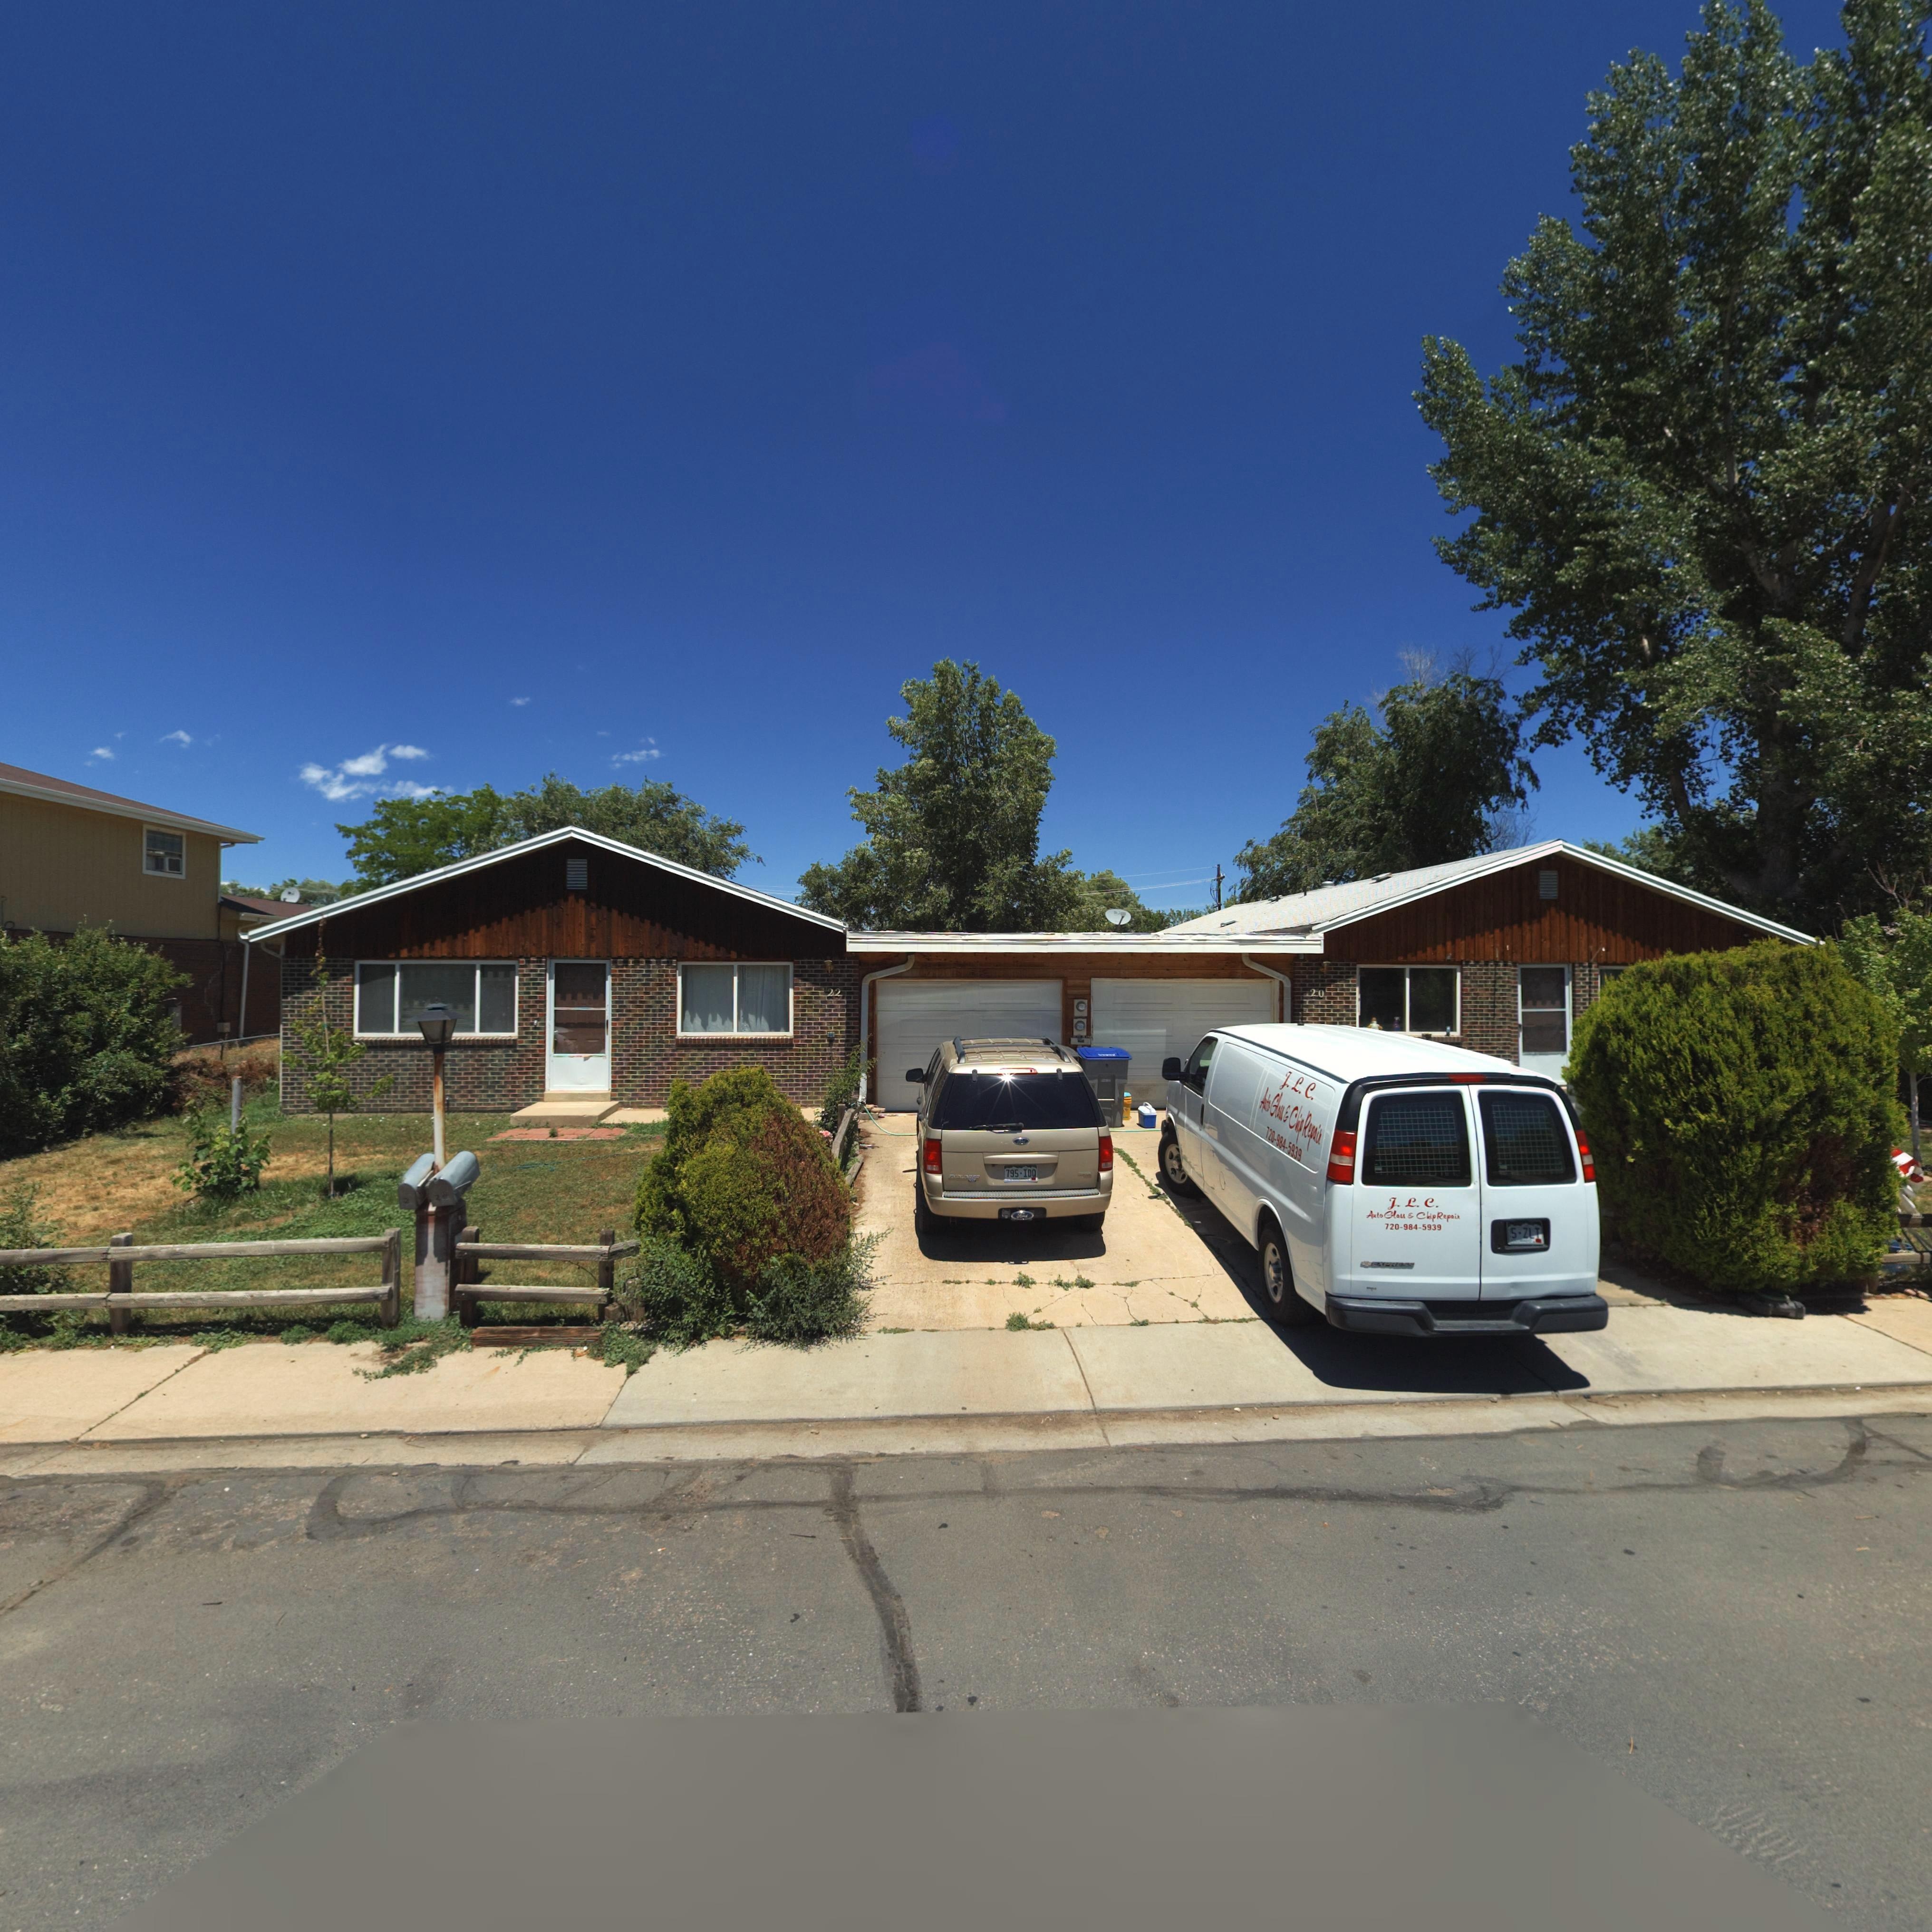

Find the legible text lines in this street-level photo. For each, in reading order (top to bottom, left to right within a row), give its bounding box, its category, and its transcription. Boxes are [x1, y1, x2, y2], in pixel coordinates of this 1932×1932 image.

[826, 986, 843, 997] StreetNumber: 22
[1309, 987, 1325, 998] StreetNumber: 20